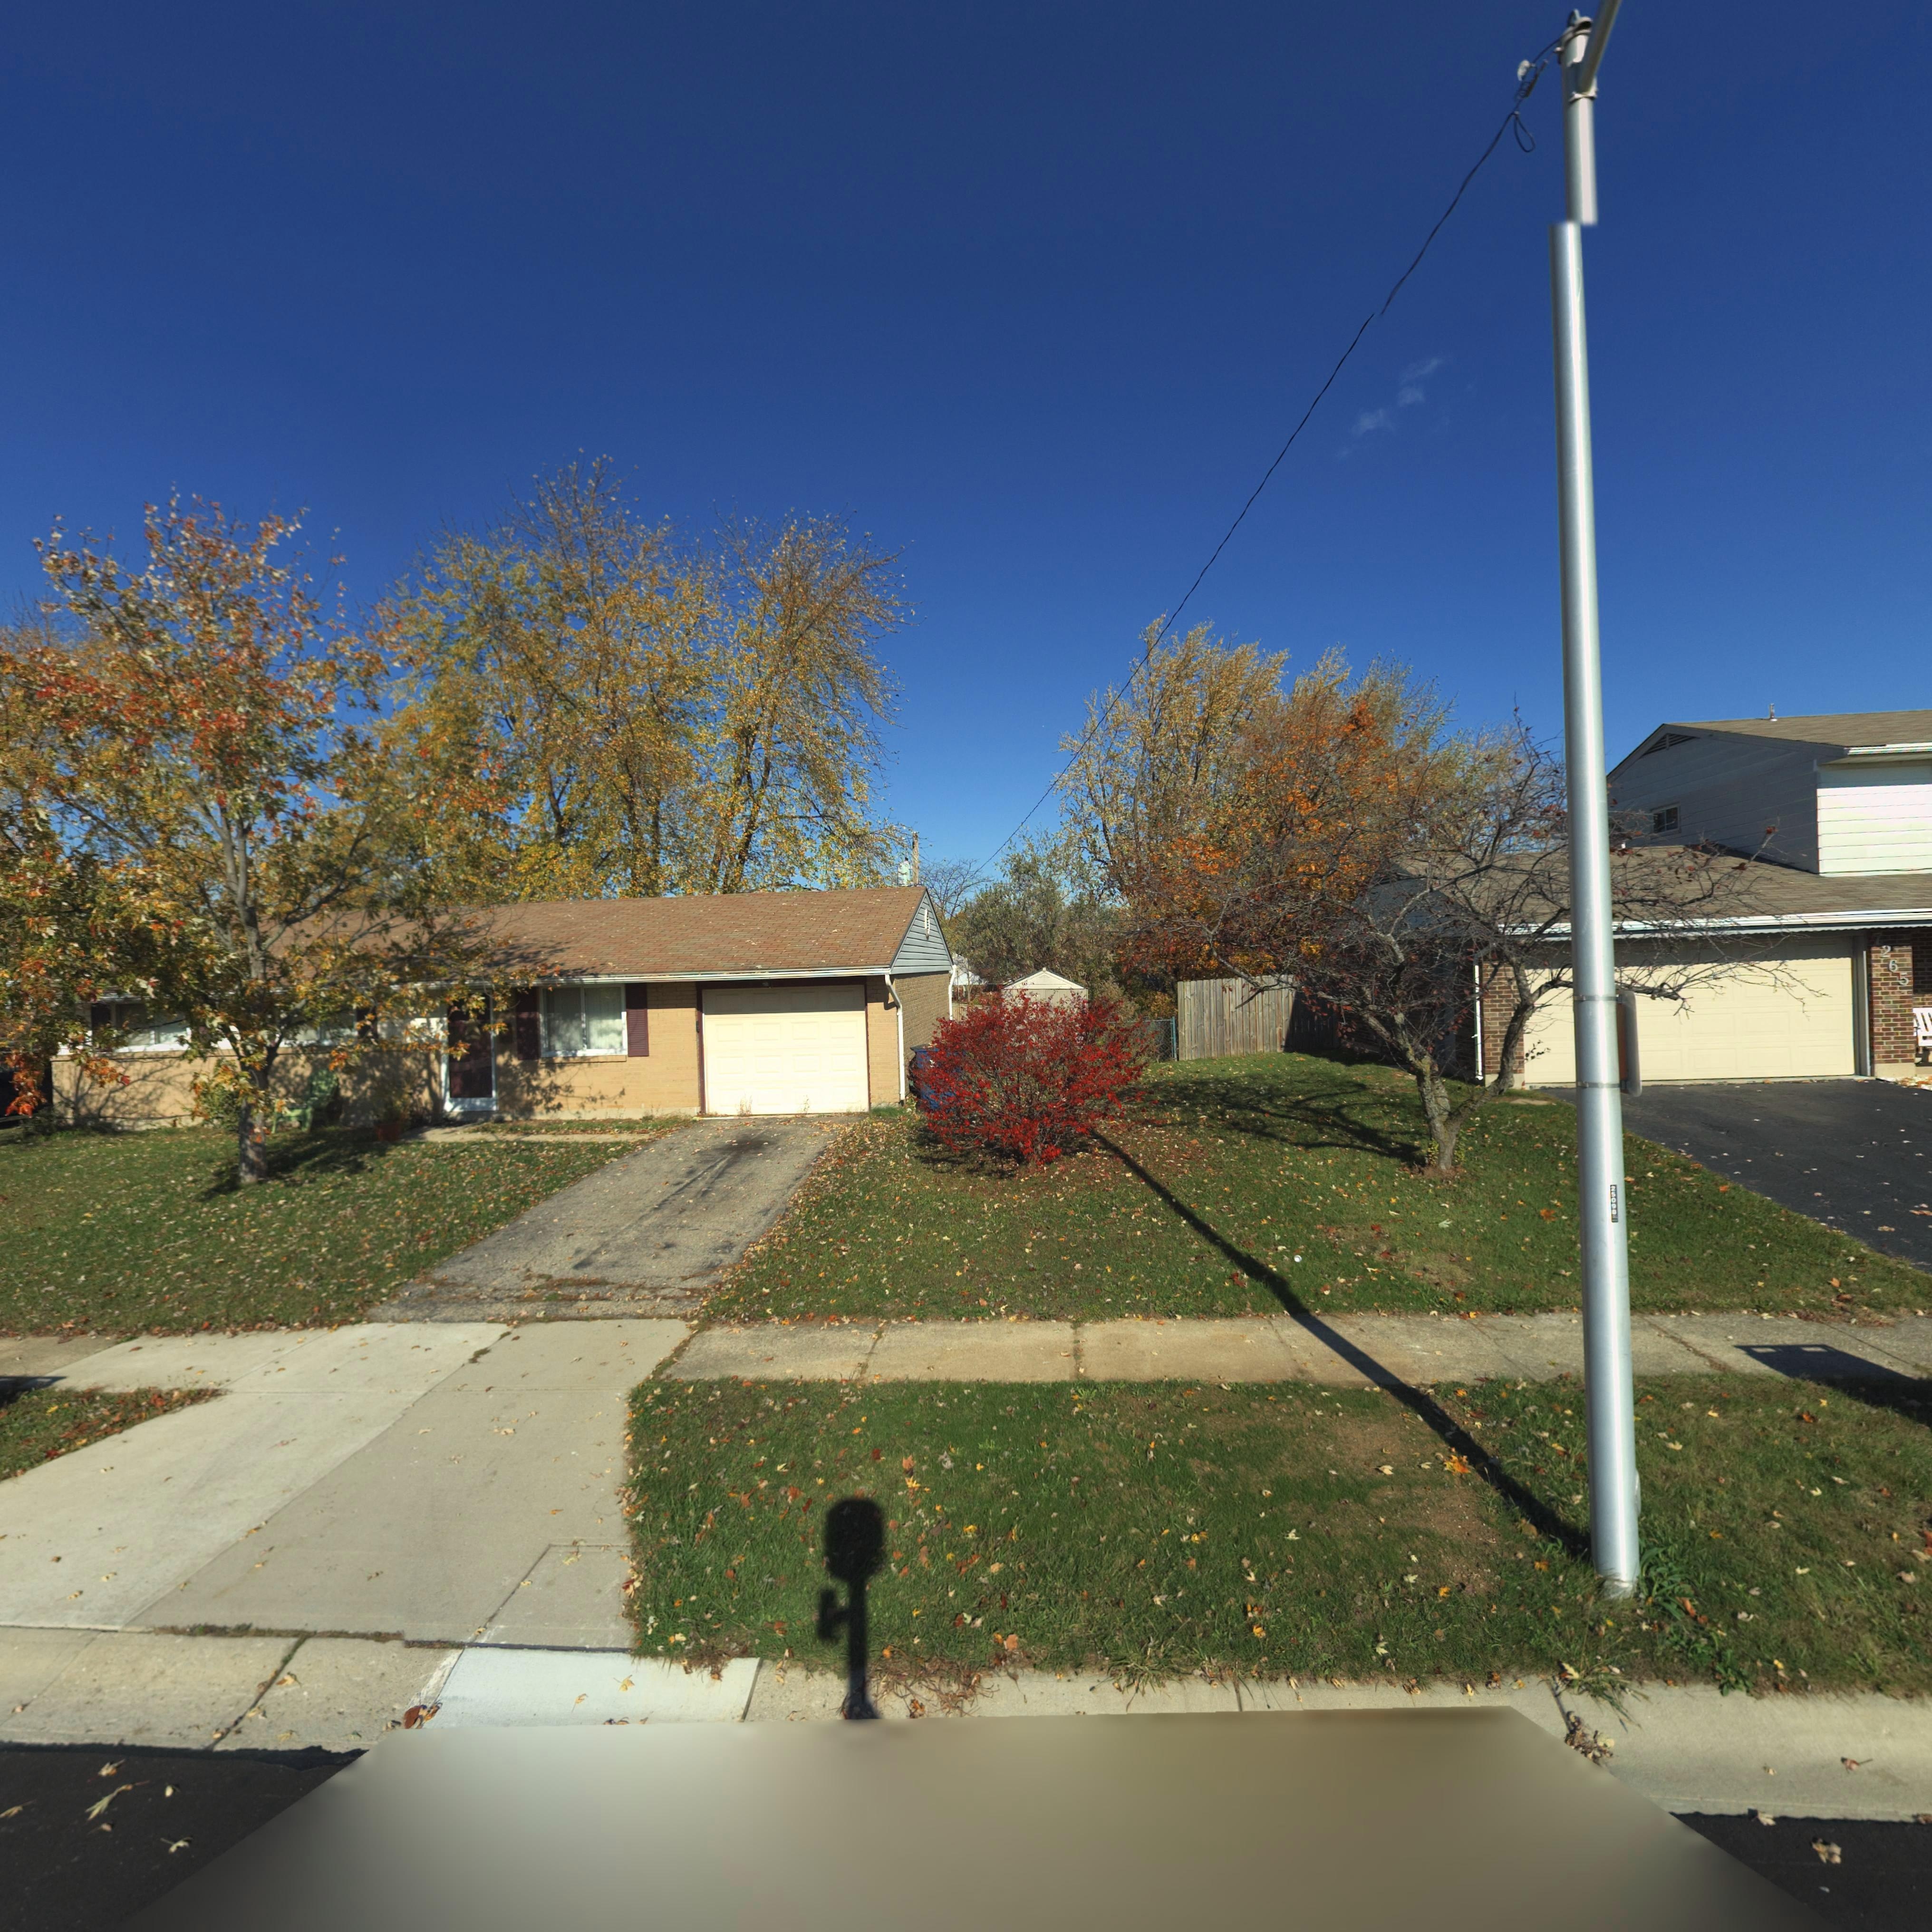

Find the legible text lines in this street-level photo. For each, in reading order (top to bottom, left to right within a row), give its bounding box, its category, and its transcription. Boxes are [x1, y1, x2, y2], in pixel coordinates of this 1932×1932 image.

[1870, 931, 1910, 987] StreetNumber: 7265